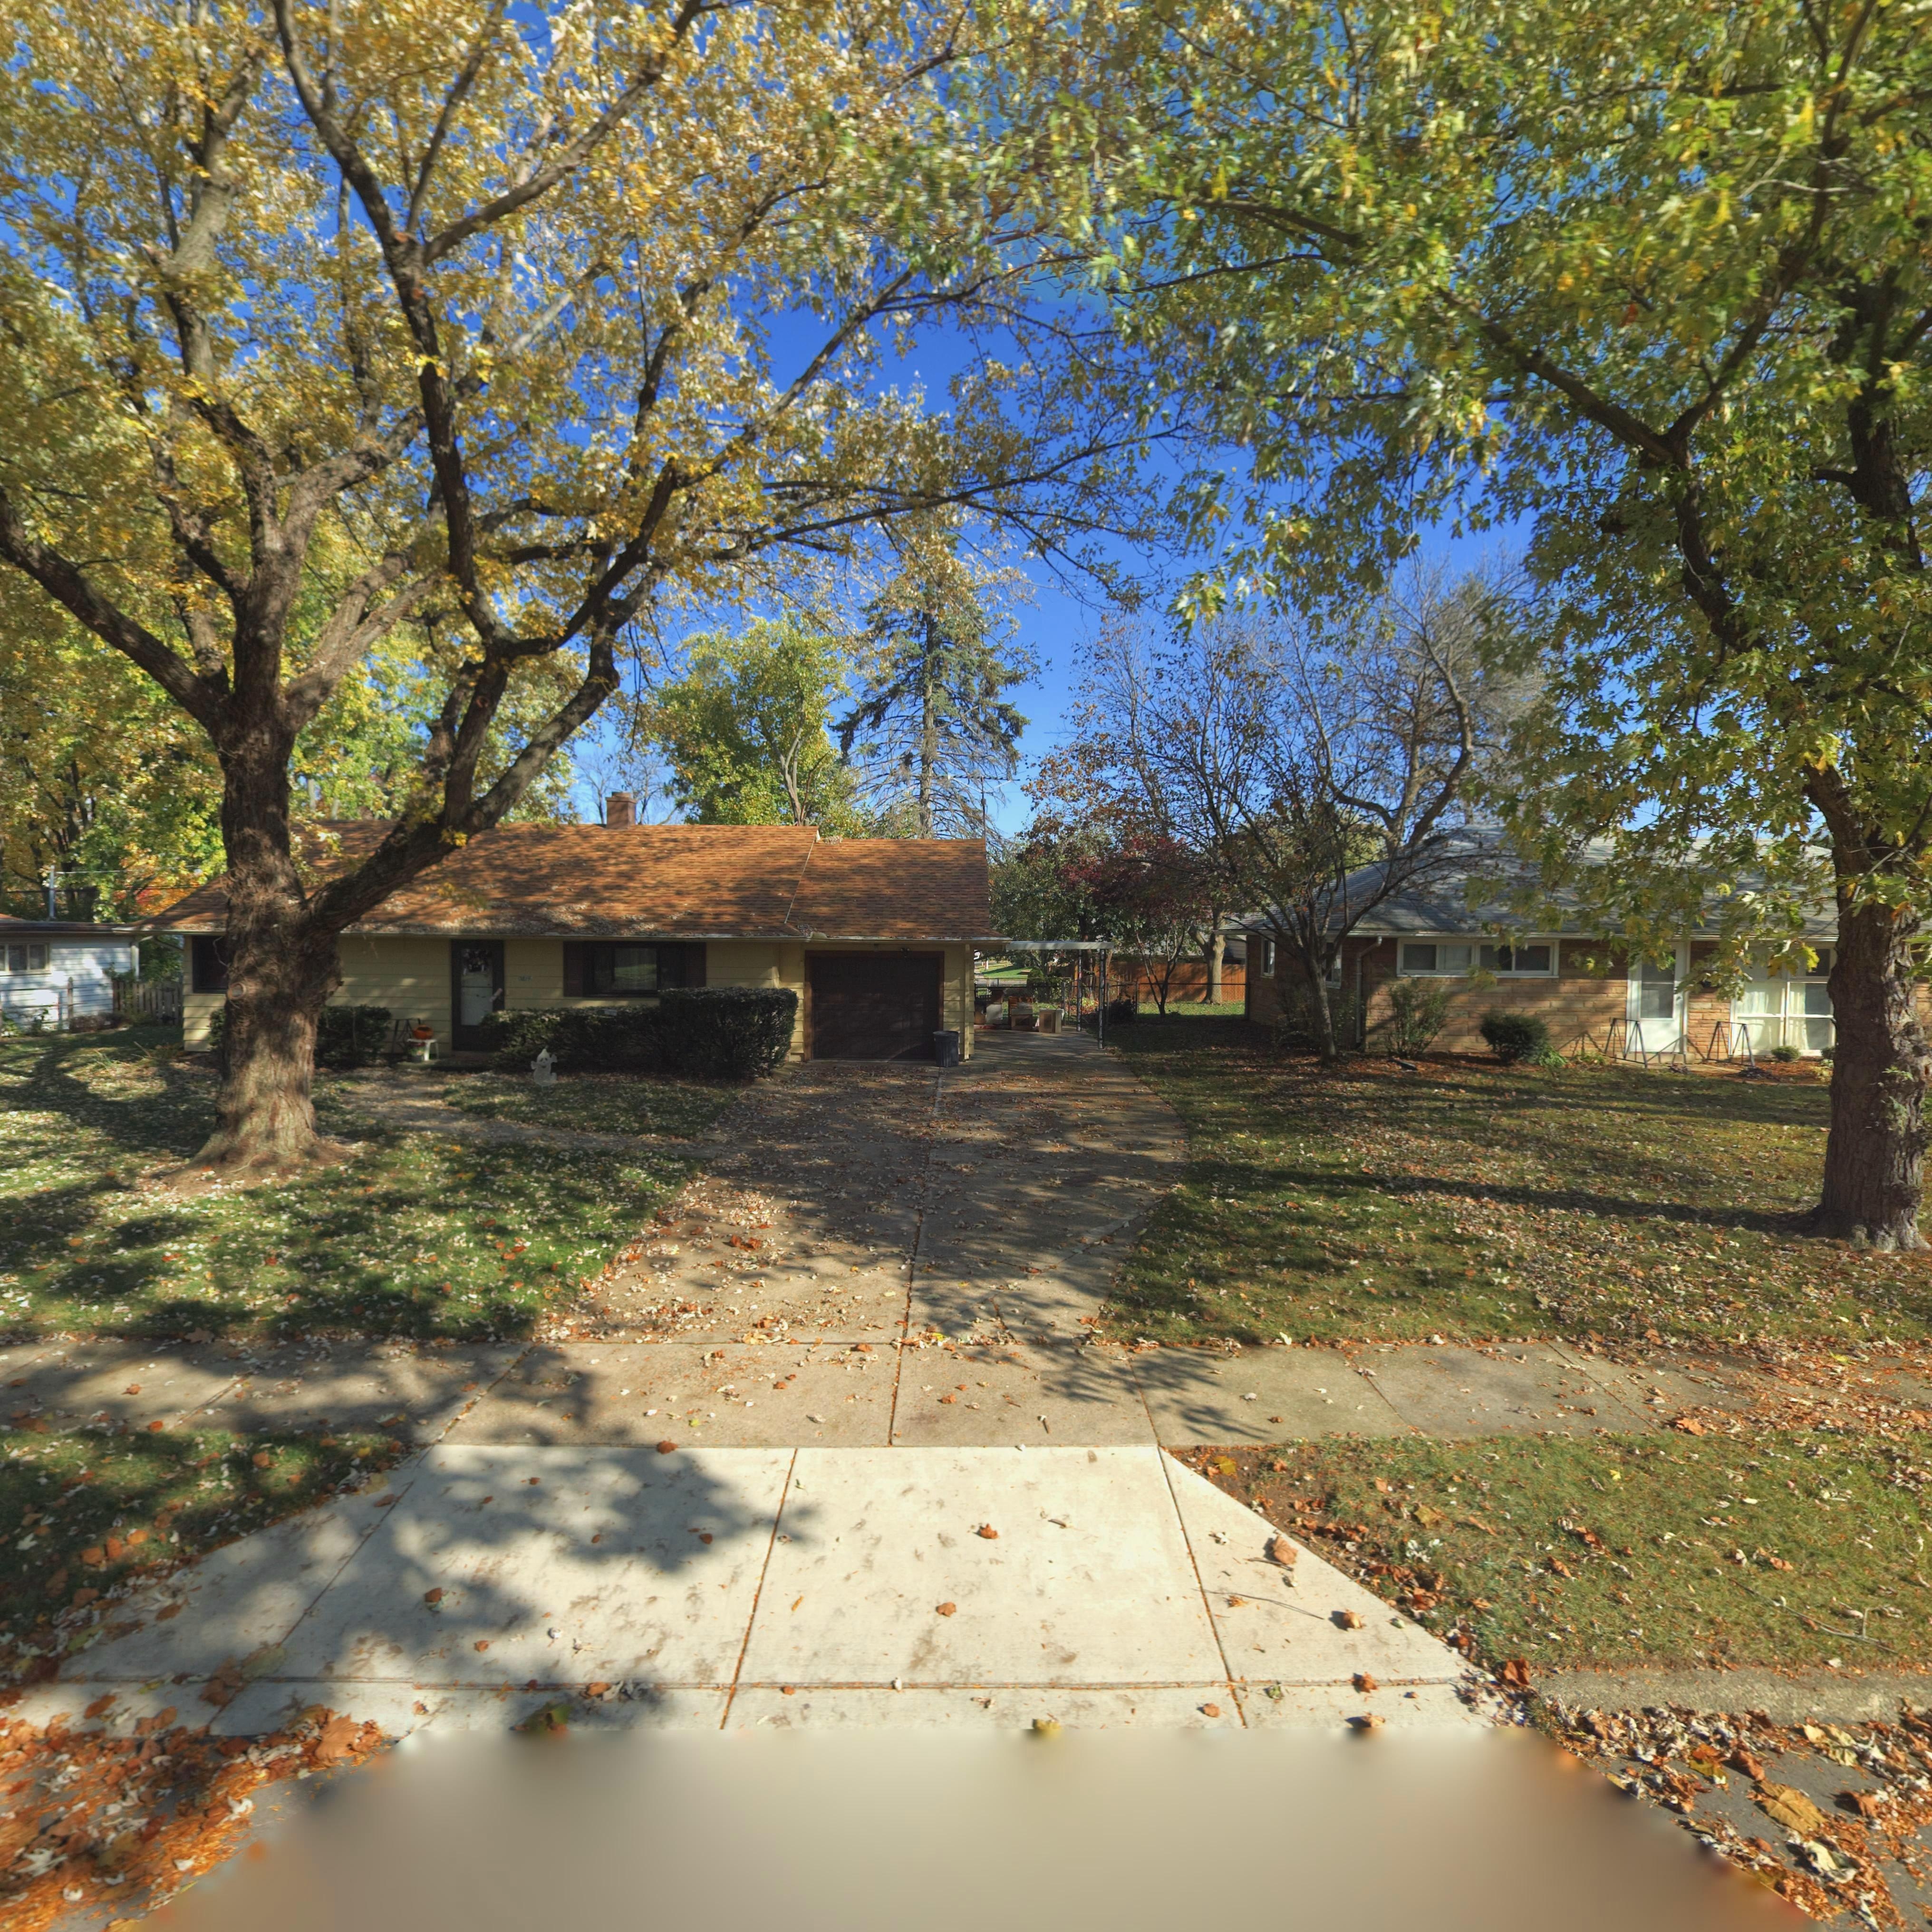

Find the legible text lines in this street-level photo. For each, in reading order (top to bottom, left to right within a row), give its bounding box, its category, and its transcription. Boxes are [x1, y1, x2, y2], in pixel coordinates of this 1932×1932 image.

[518, 976, 531, 981] StreetNumber: 3814